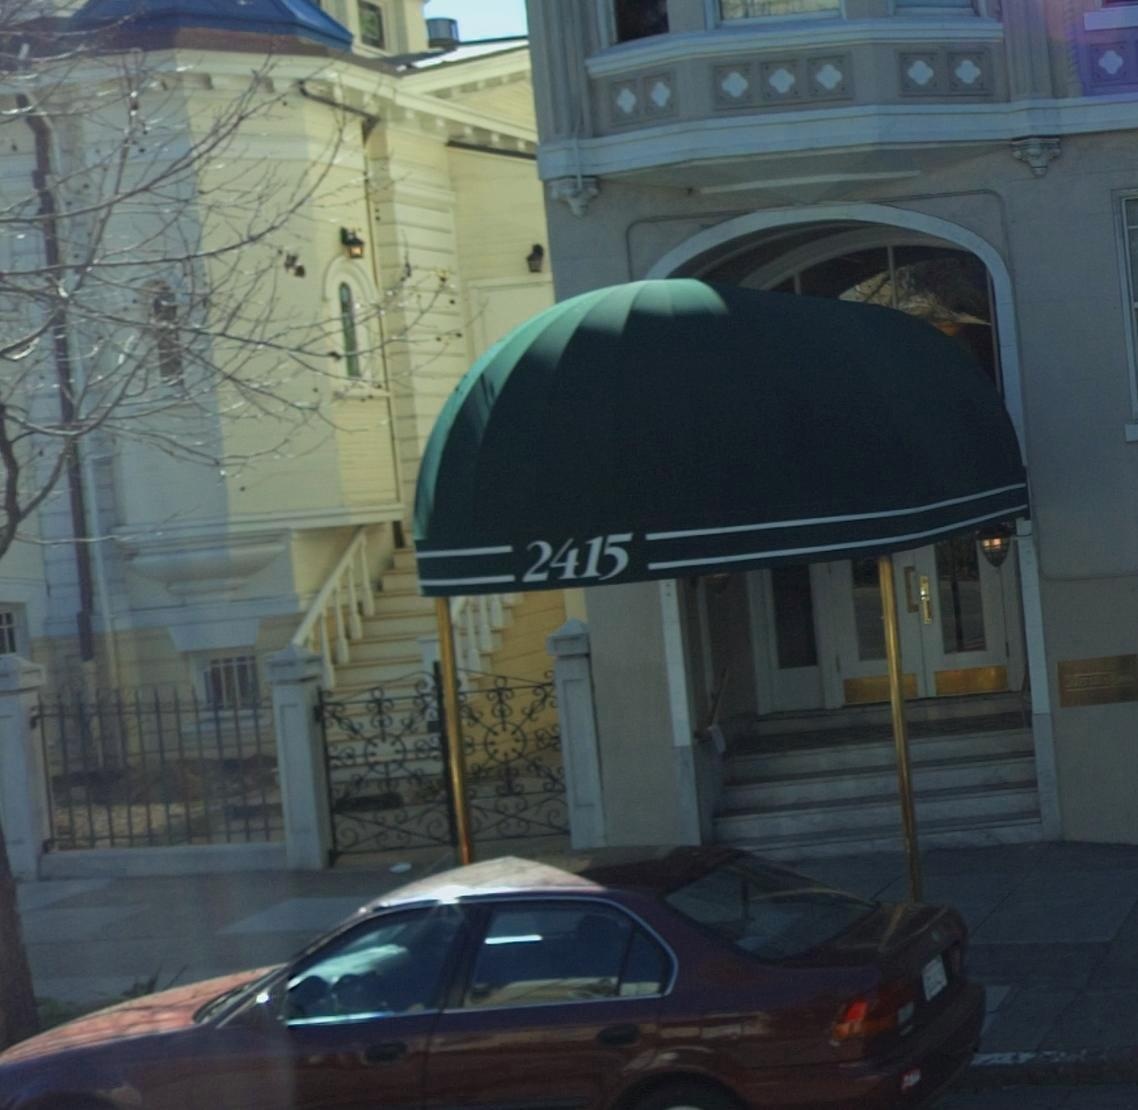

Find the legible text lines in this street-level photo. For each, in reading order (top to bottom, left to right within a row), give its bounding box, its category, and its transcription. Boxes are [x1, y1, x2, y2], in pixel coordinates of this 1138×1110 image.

[517, 531, 636, 584] StreetNumber: 2415